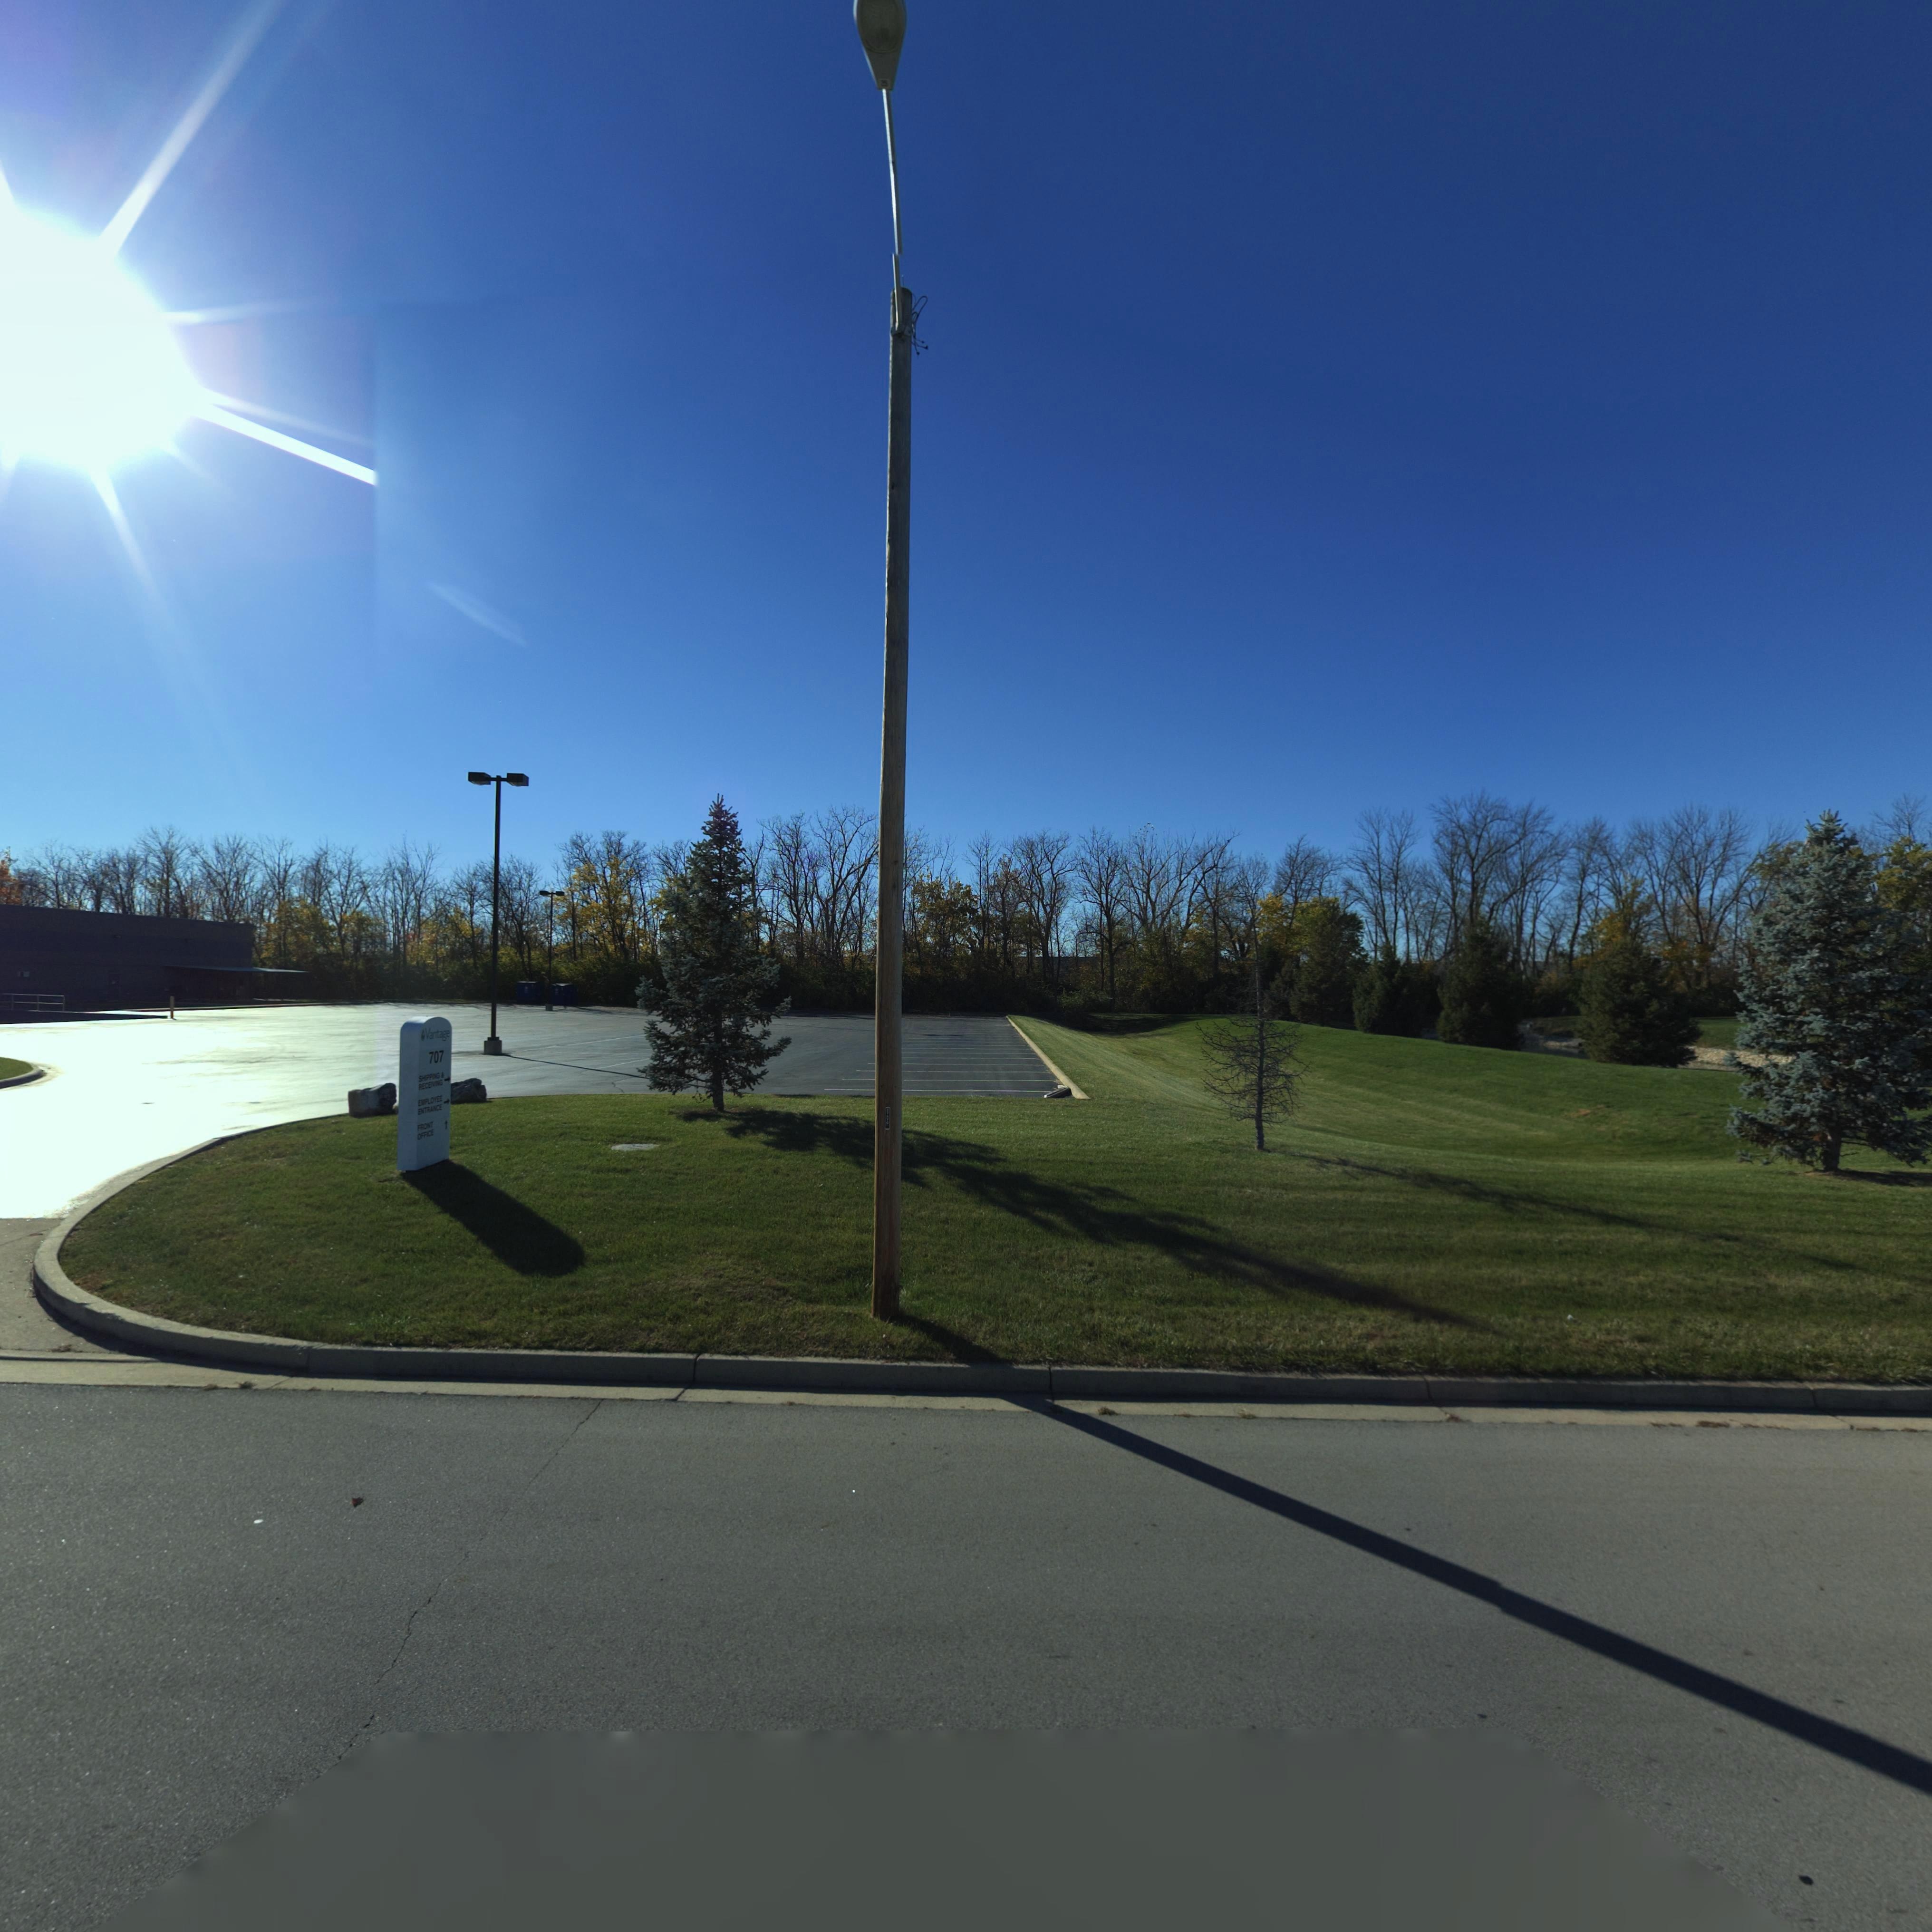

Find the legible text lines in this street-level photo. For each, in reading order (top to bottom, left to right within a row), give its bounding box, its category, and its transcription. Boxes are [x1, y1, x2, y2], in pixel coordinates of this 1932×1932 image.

[428, 1050, 445, 1064] StreetNumber: 707